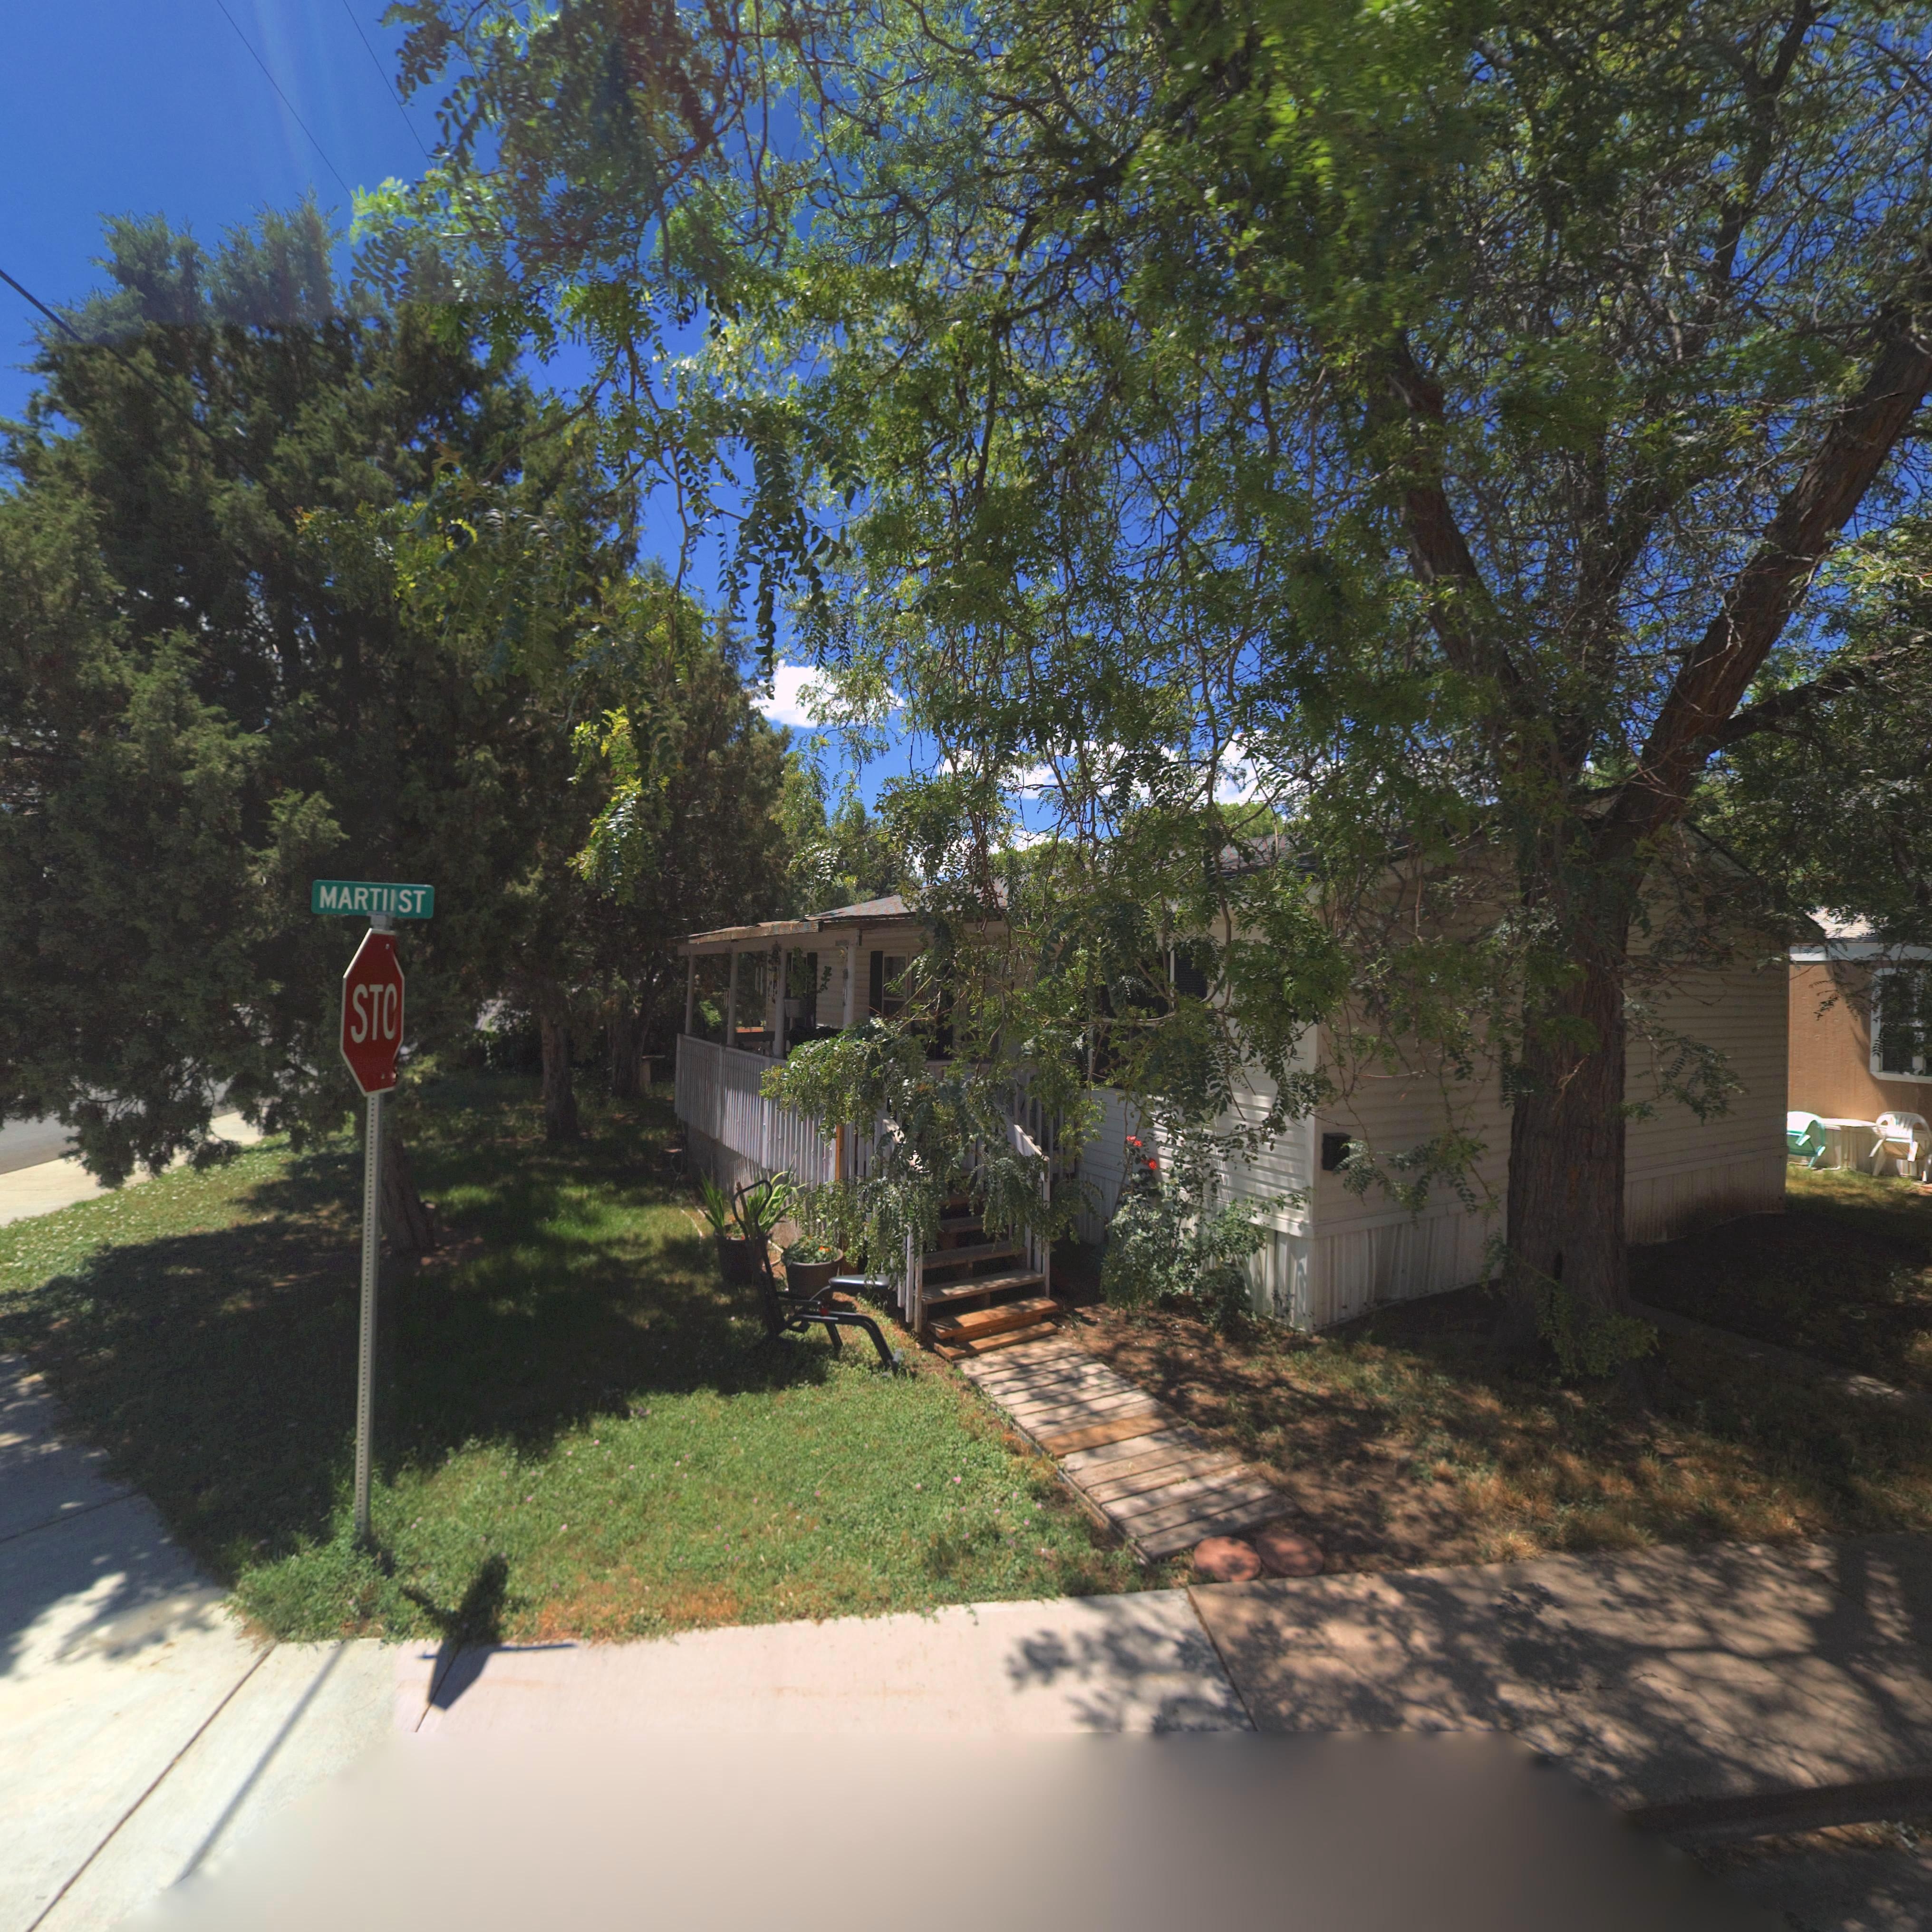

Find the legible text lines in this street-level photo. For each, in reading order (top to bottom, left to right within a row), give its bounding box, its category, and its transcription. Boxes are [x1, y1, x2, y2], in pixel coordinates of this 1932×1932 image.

[319, 885, 425, 914] StreetName: MARTIIST